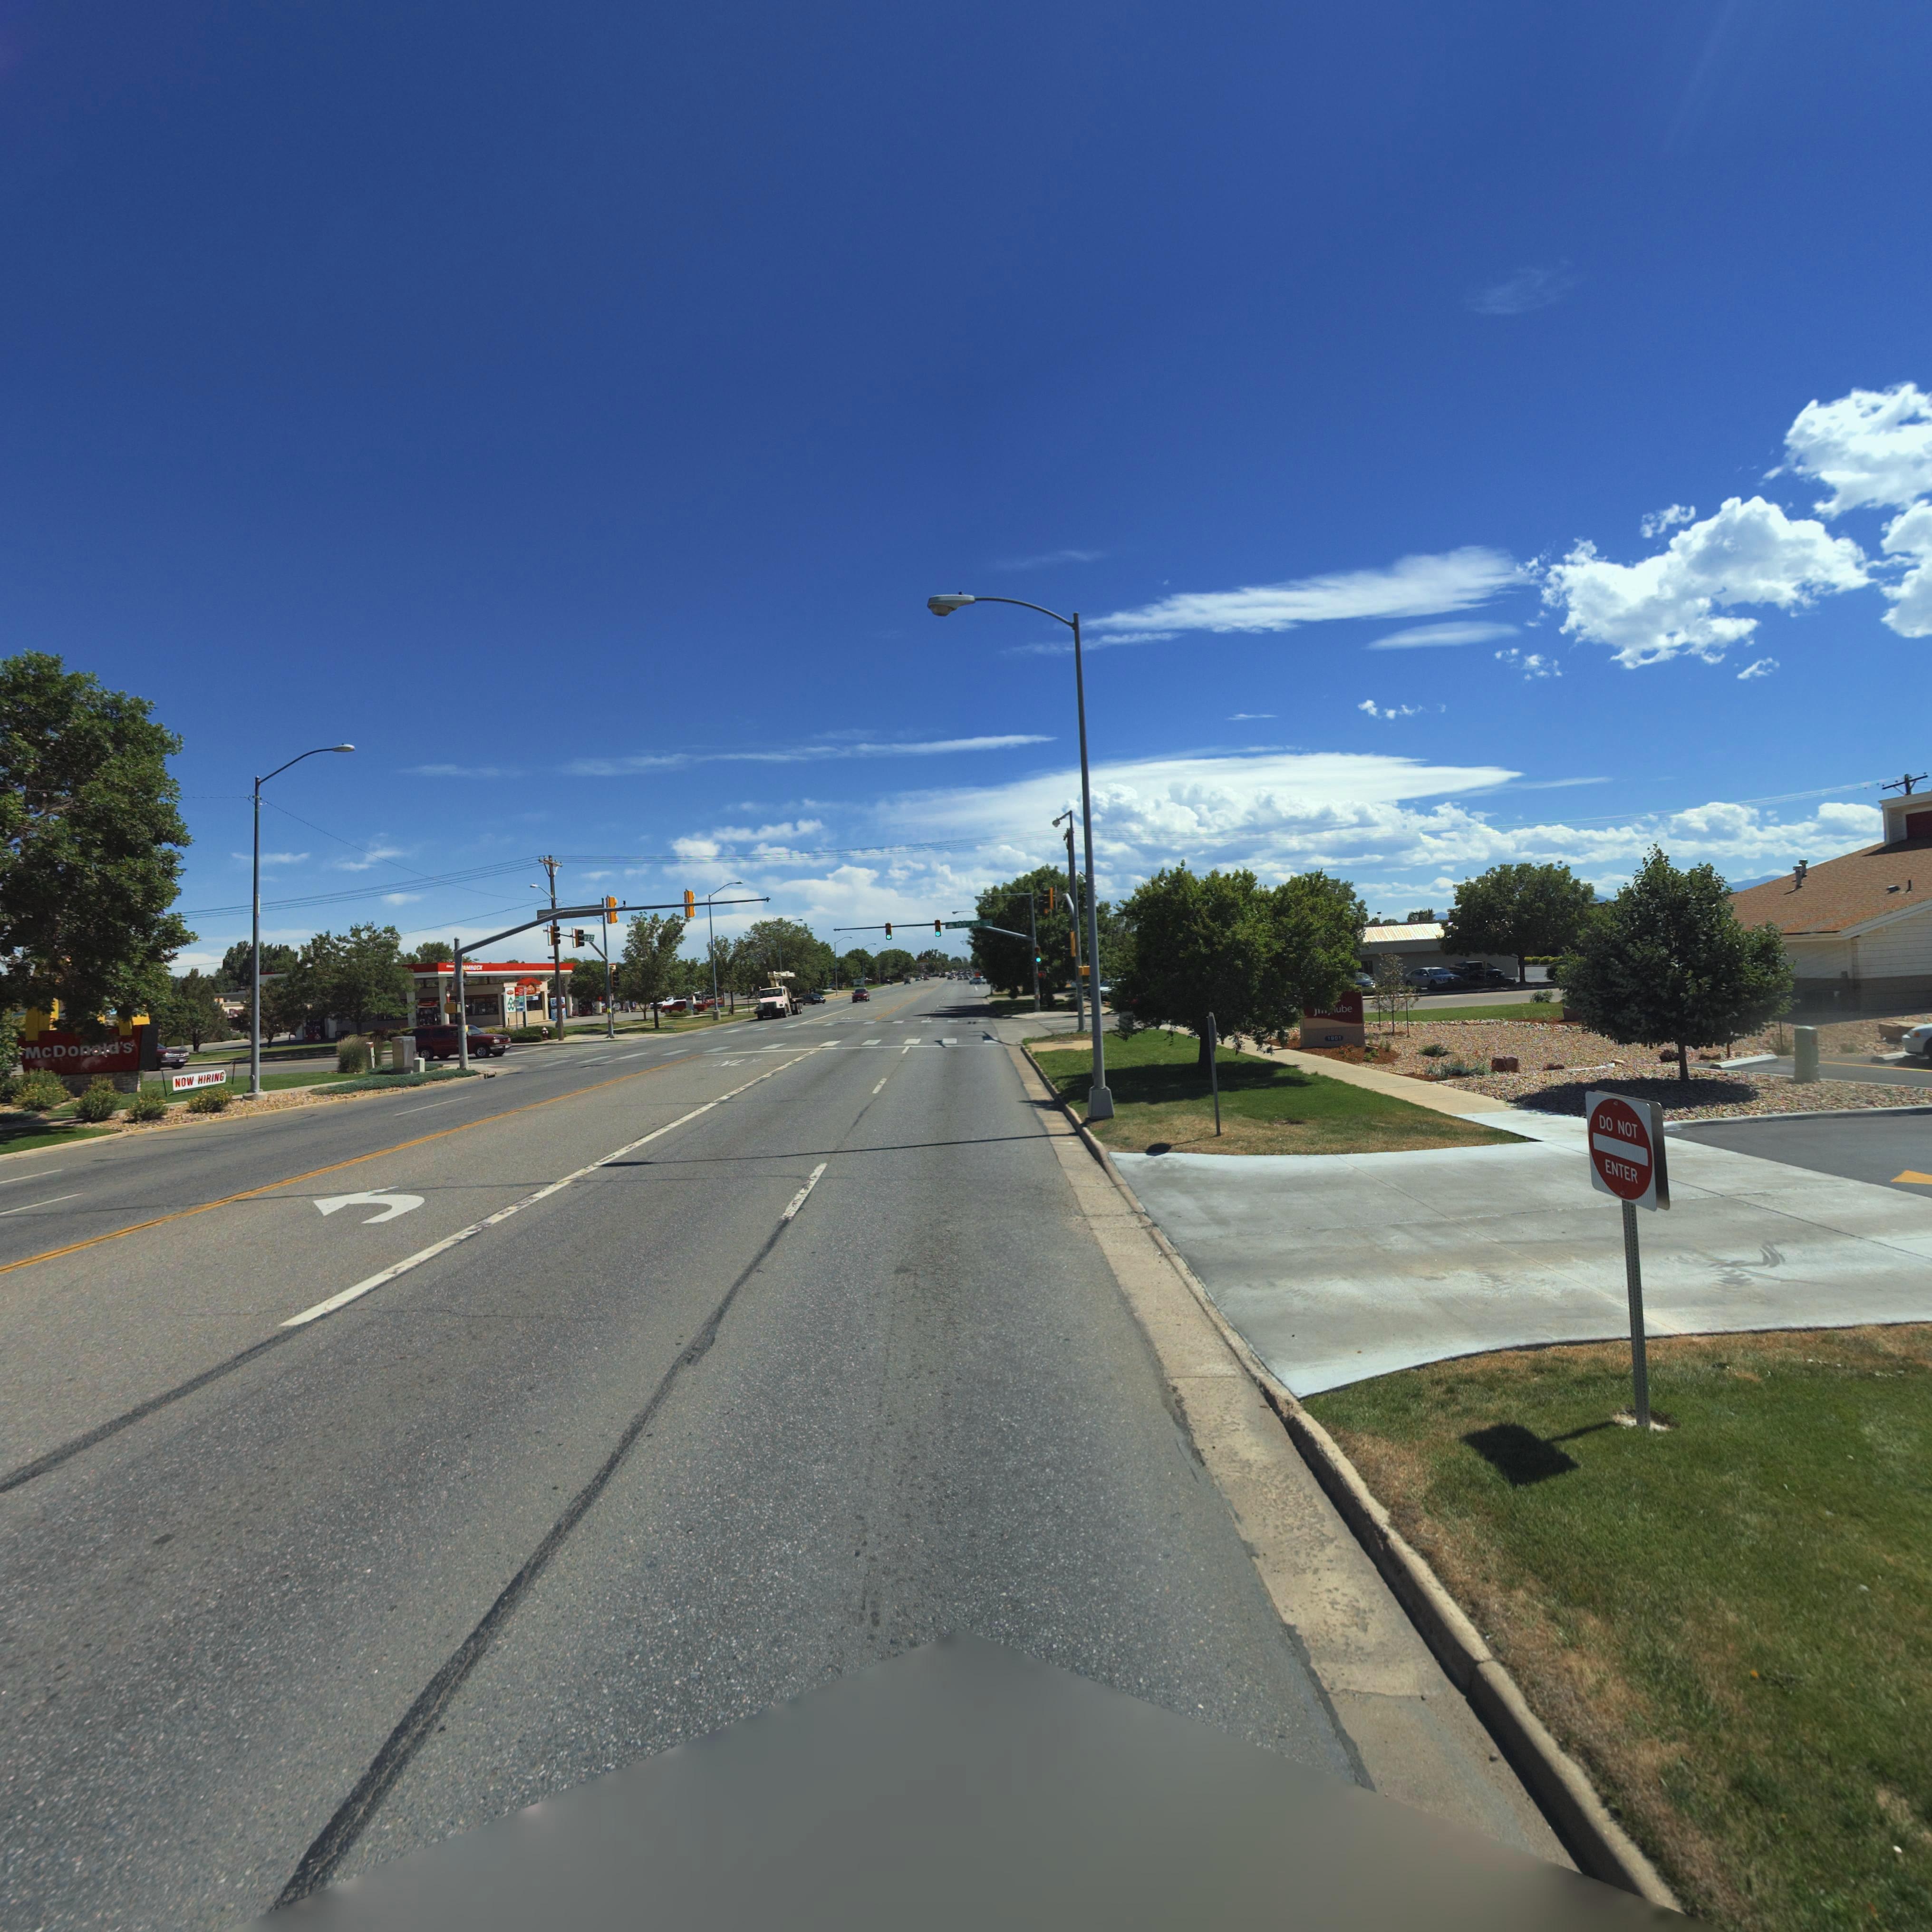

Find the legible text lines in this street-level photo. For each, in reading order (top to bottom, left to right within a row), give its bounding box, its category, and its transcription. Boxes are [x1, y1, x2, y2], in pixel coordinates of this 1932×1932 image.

[956, 921, 981, 927] StreetName: 19th9th Ave
[587, 935, 590, 941] StreetName: St
[462, 965, 483, 970] BusinessName: AMROCK
[1313, 1004, 1352, 1016] BusinessName: j****lube
[1327, 1035, 1341, 1041] StreetNumber: 1901
[24, 1041, 133, 1060] BusinessName: McDonald's